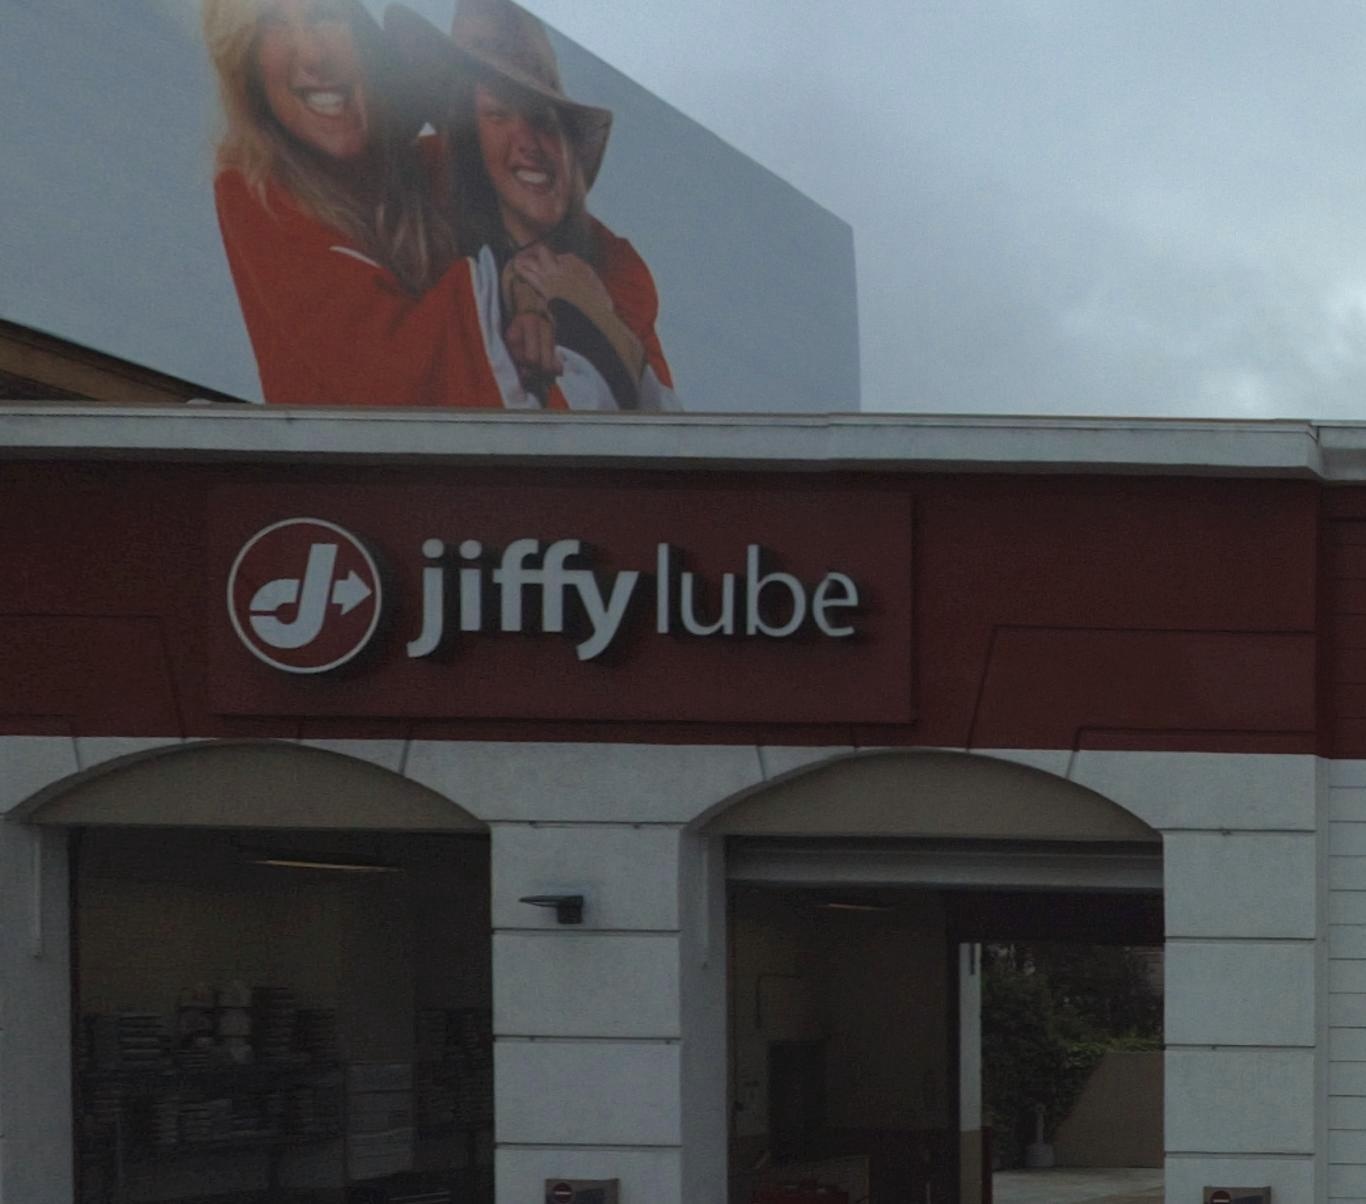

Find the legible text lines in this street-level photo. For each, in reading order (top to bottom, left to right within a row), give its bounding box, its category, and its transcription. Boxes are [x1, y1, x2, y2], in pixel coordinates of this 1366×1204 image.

[240, 535, 381, 658] None: J
[399, 532, 864, 668] BusinessName: jiffylube